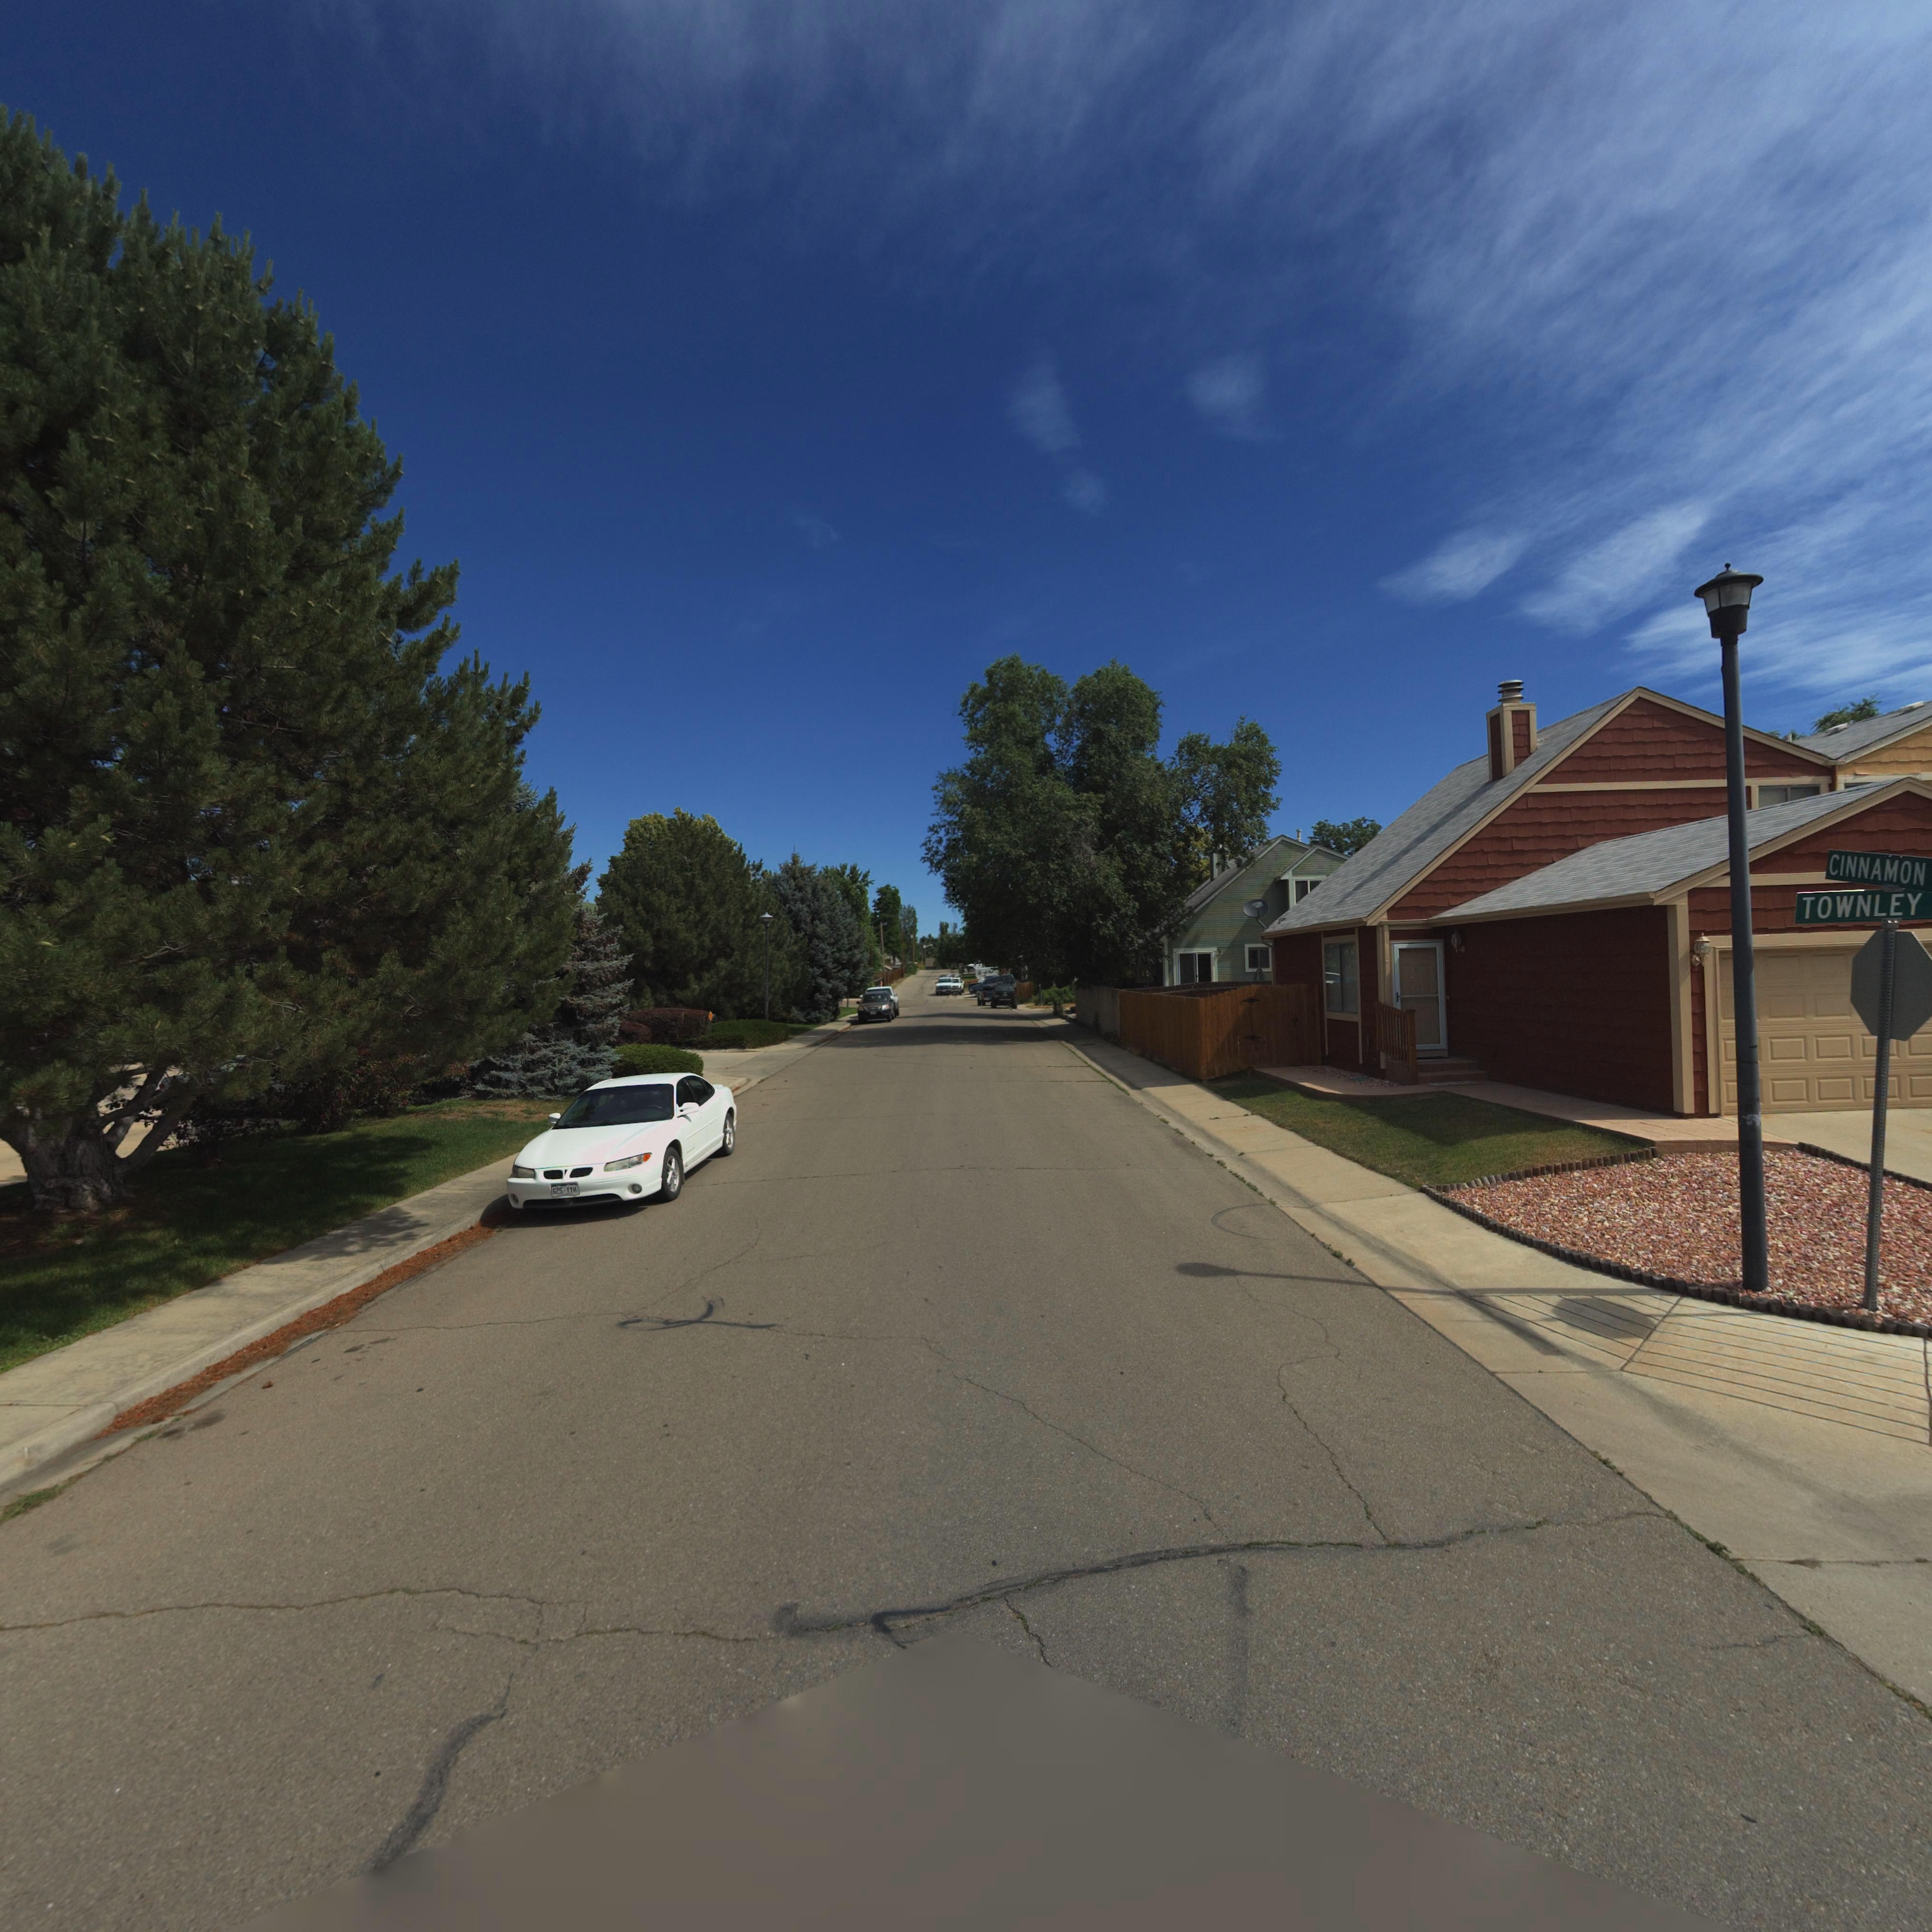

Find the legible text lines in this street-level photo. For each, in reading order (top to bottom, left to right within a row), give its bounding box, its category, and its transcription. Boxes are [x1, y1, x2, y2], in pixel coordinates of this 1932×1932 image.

[1828, 853, 1926, 887] StreetName: CINNAMON
[1802, 892, 1923, 919] StreetName: TOWNLEY